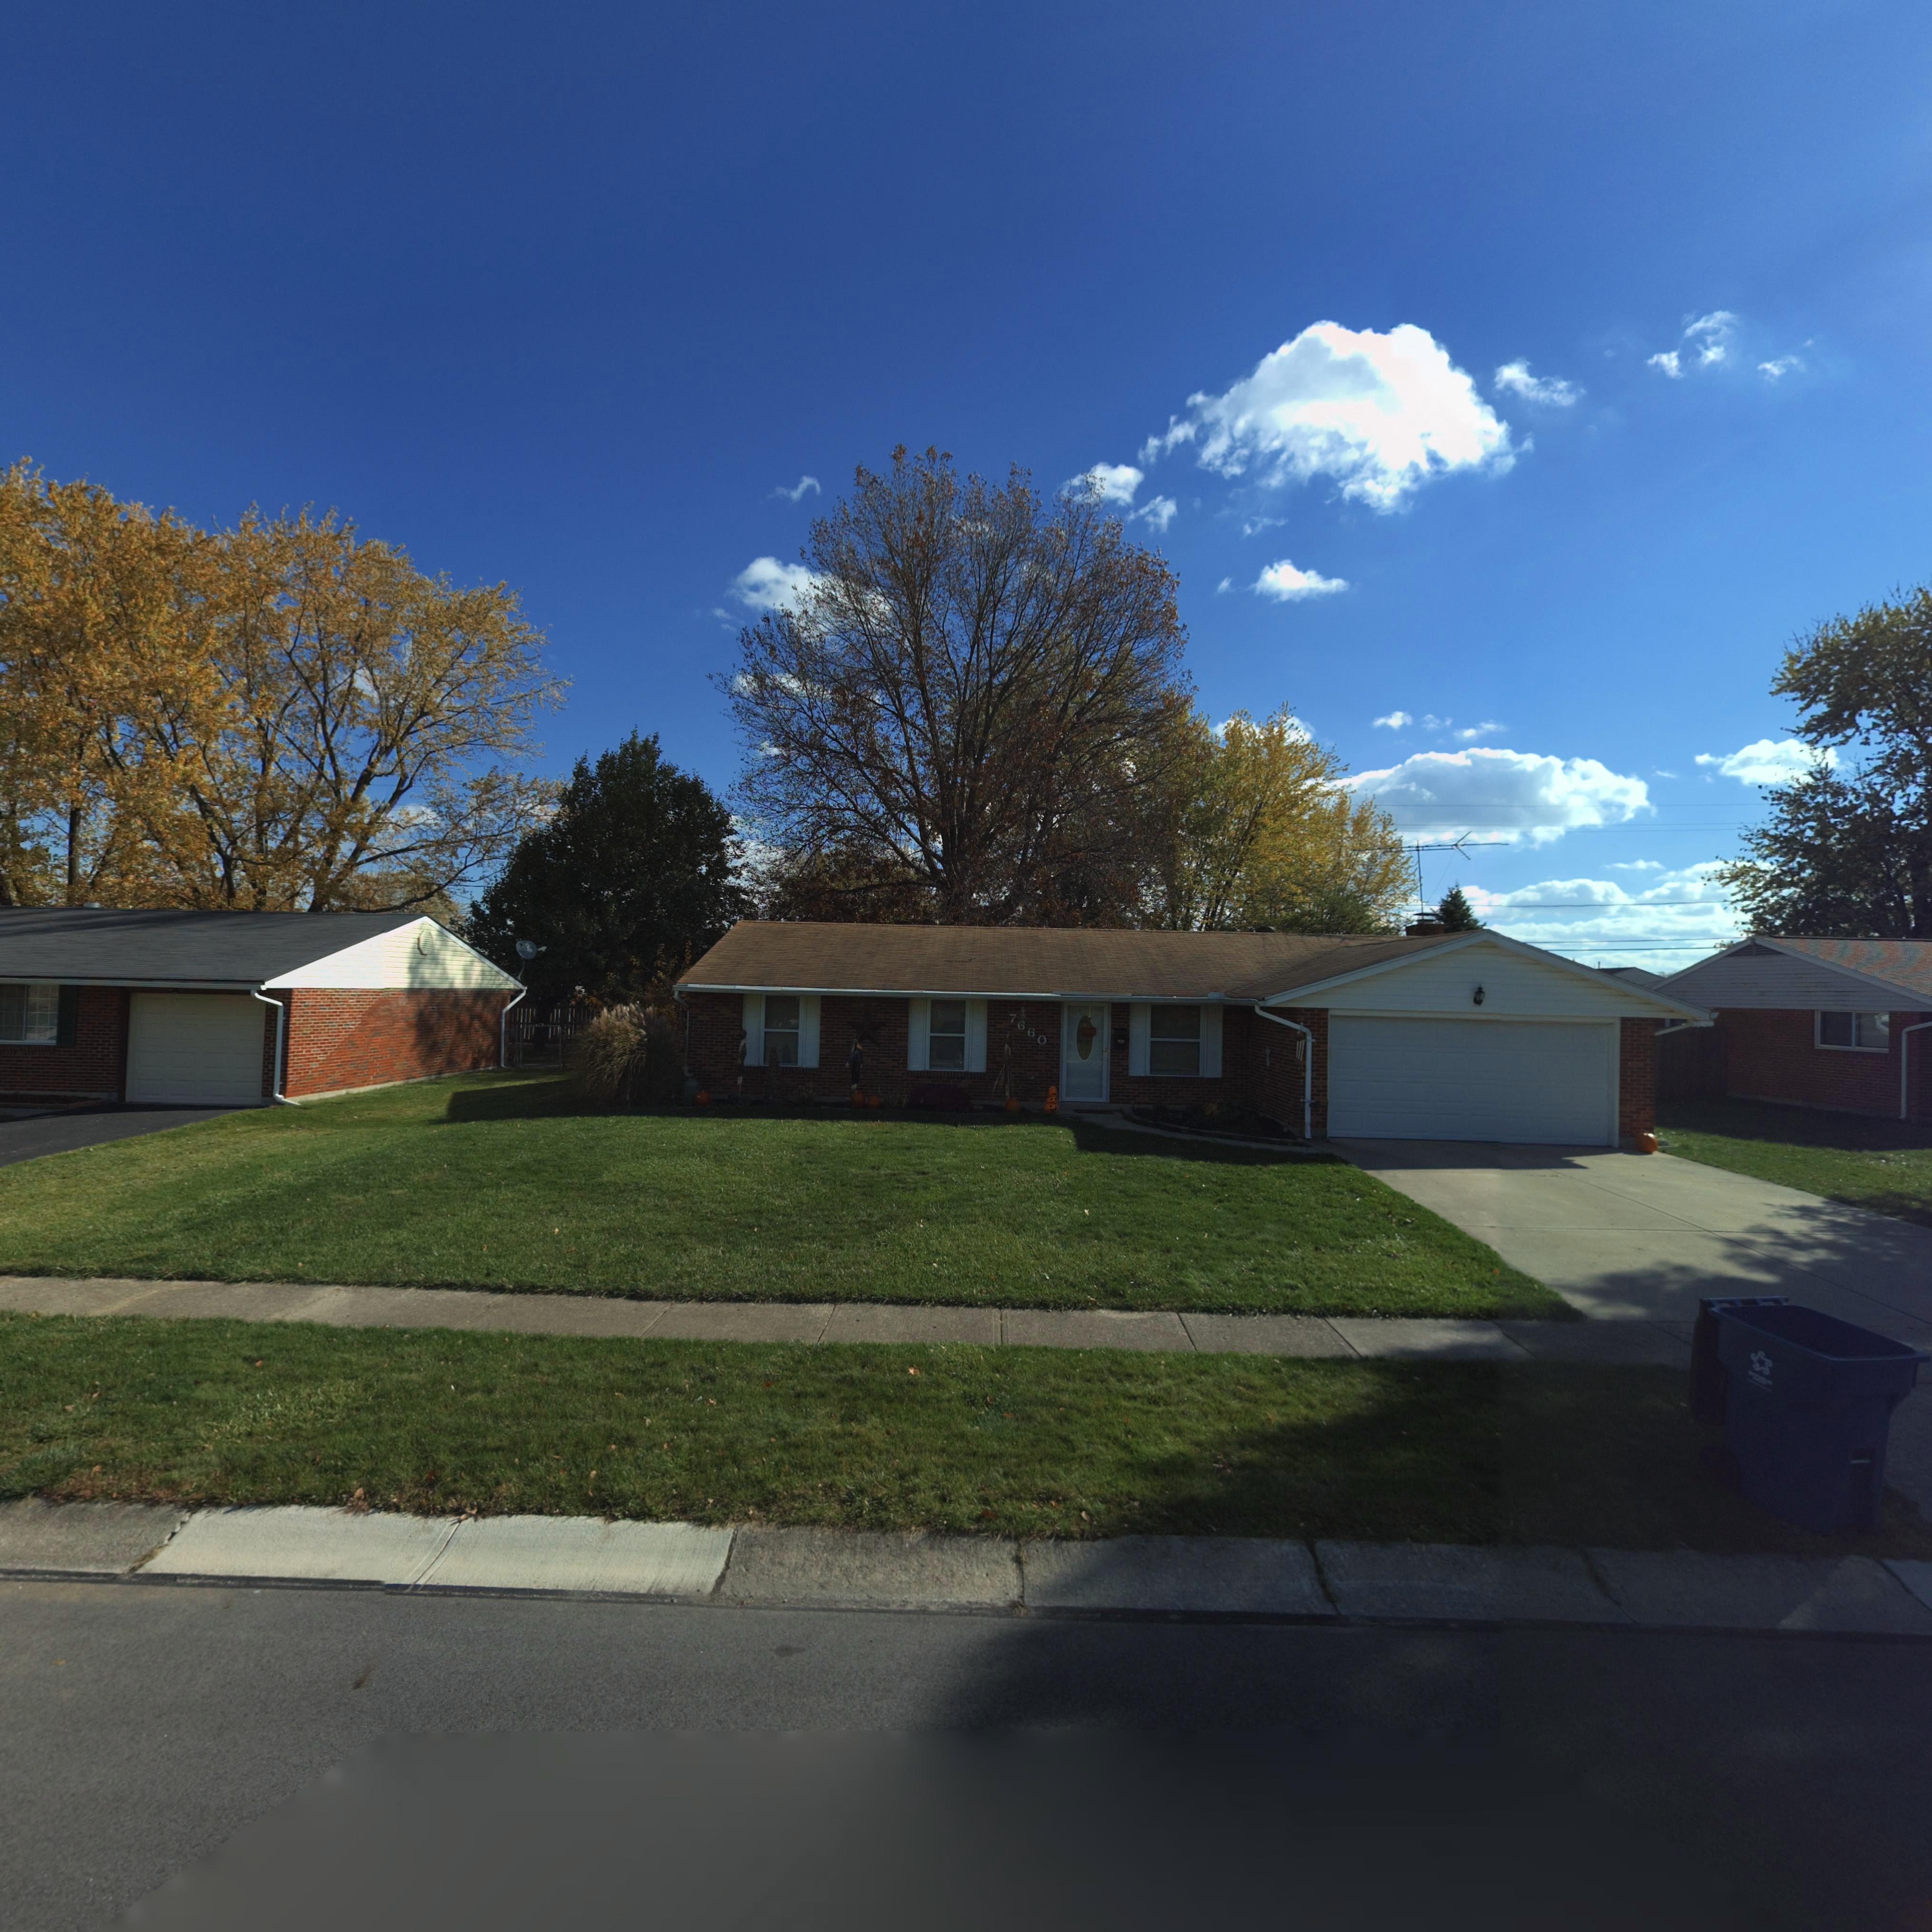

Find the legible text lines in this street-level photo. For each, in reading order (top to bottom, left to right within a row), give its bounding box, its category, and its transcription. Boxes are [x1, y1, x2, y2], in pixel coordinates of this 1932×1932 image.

[1008, 1013, 1047, 1046] StreetNumber: 7*60